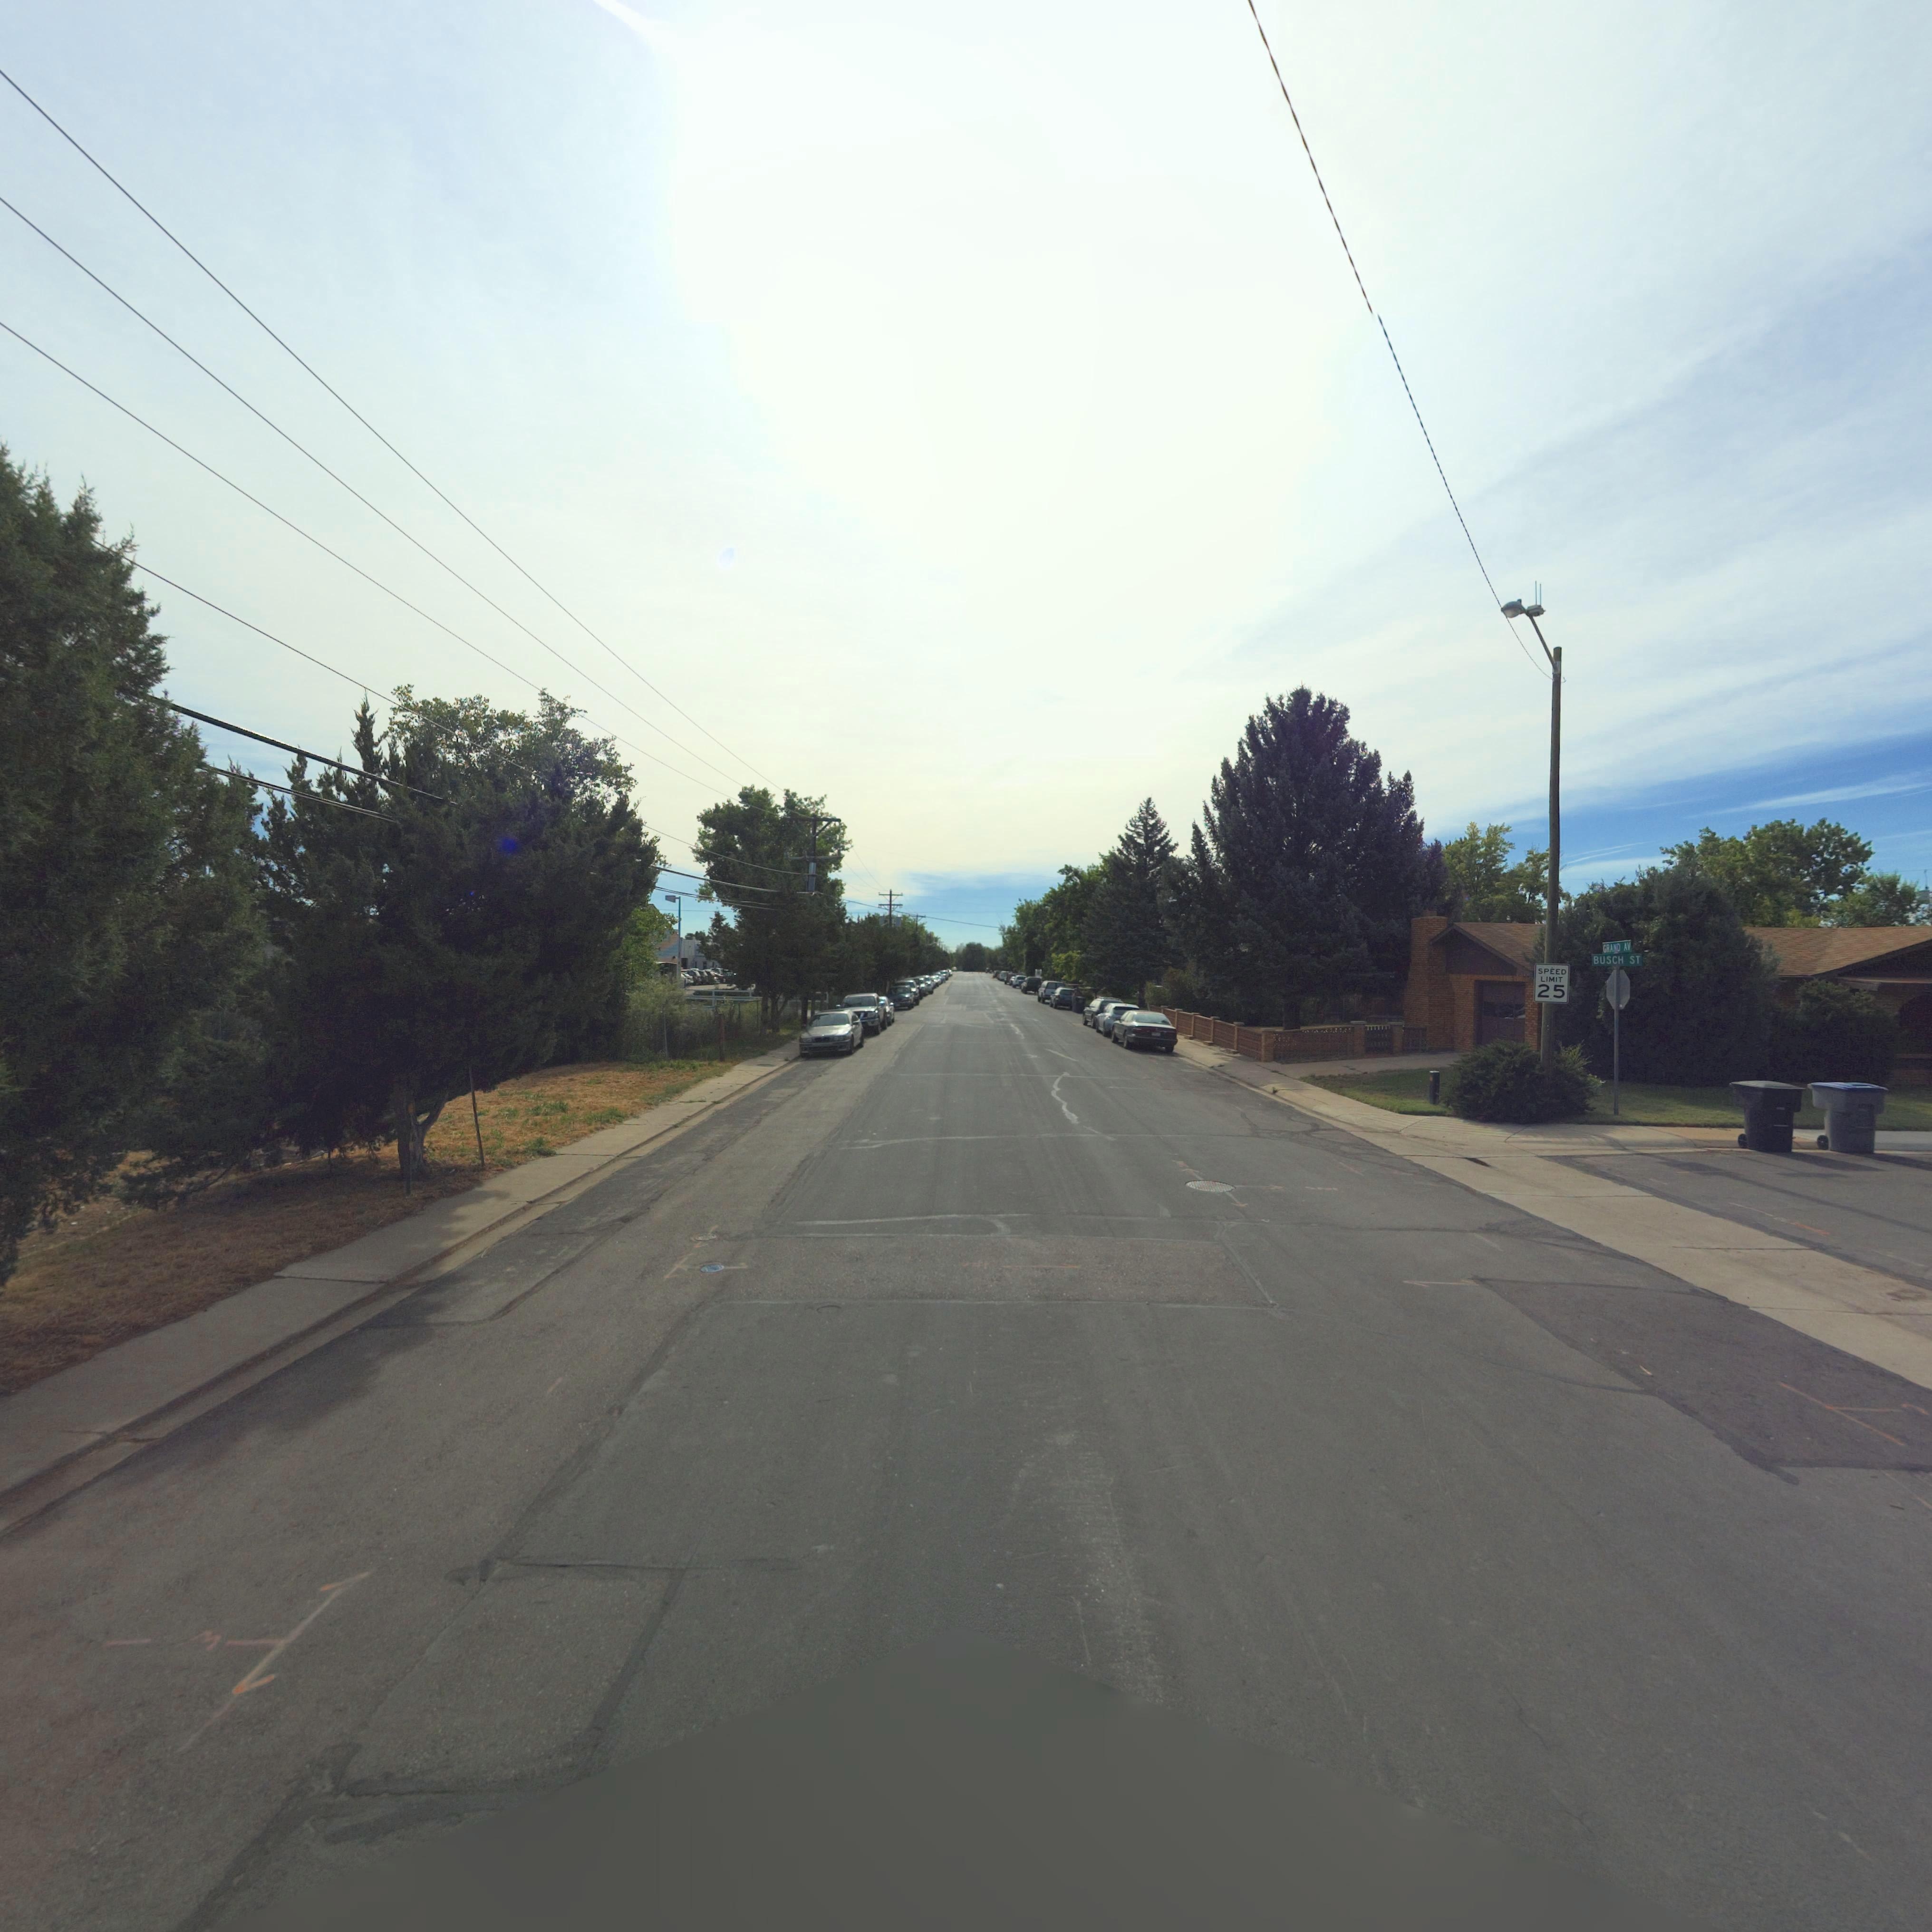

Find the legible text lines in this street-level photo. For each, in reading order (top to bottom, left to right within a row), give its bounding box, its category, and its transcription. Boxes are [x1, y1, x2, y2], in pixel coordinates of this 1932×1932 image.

[1603, 941, 1631, 953] StreetName: GRAND AV
[1594, 956, 1641, 964] StreetName: BUSCH ST